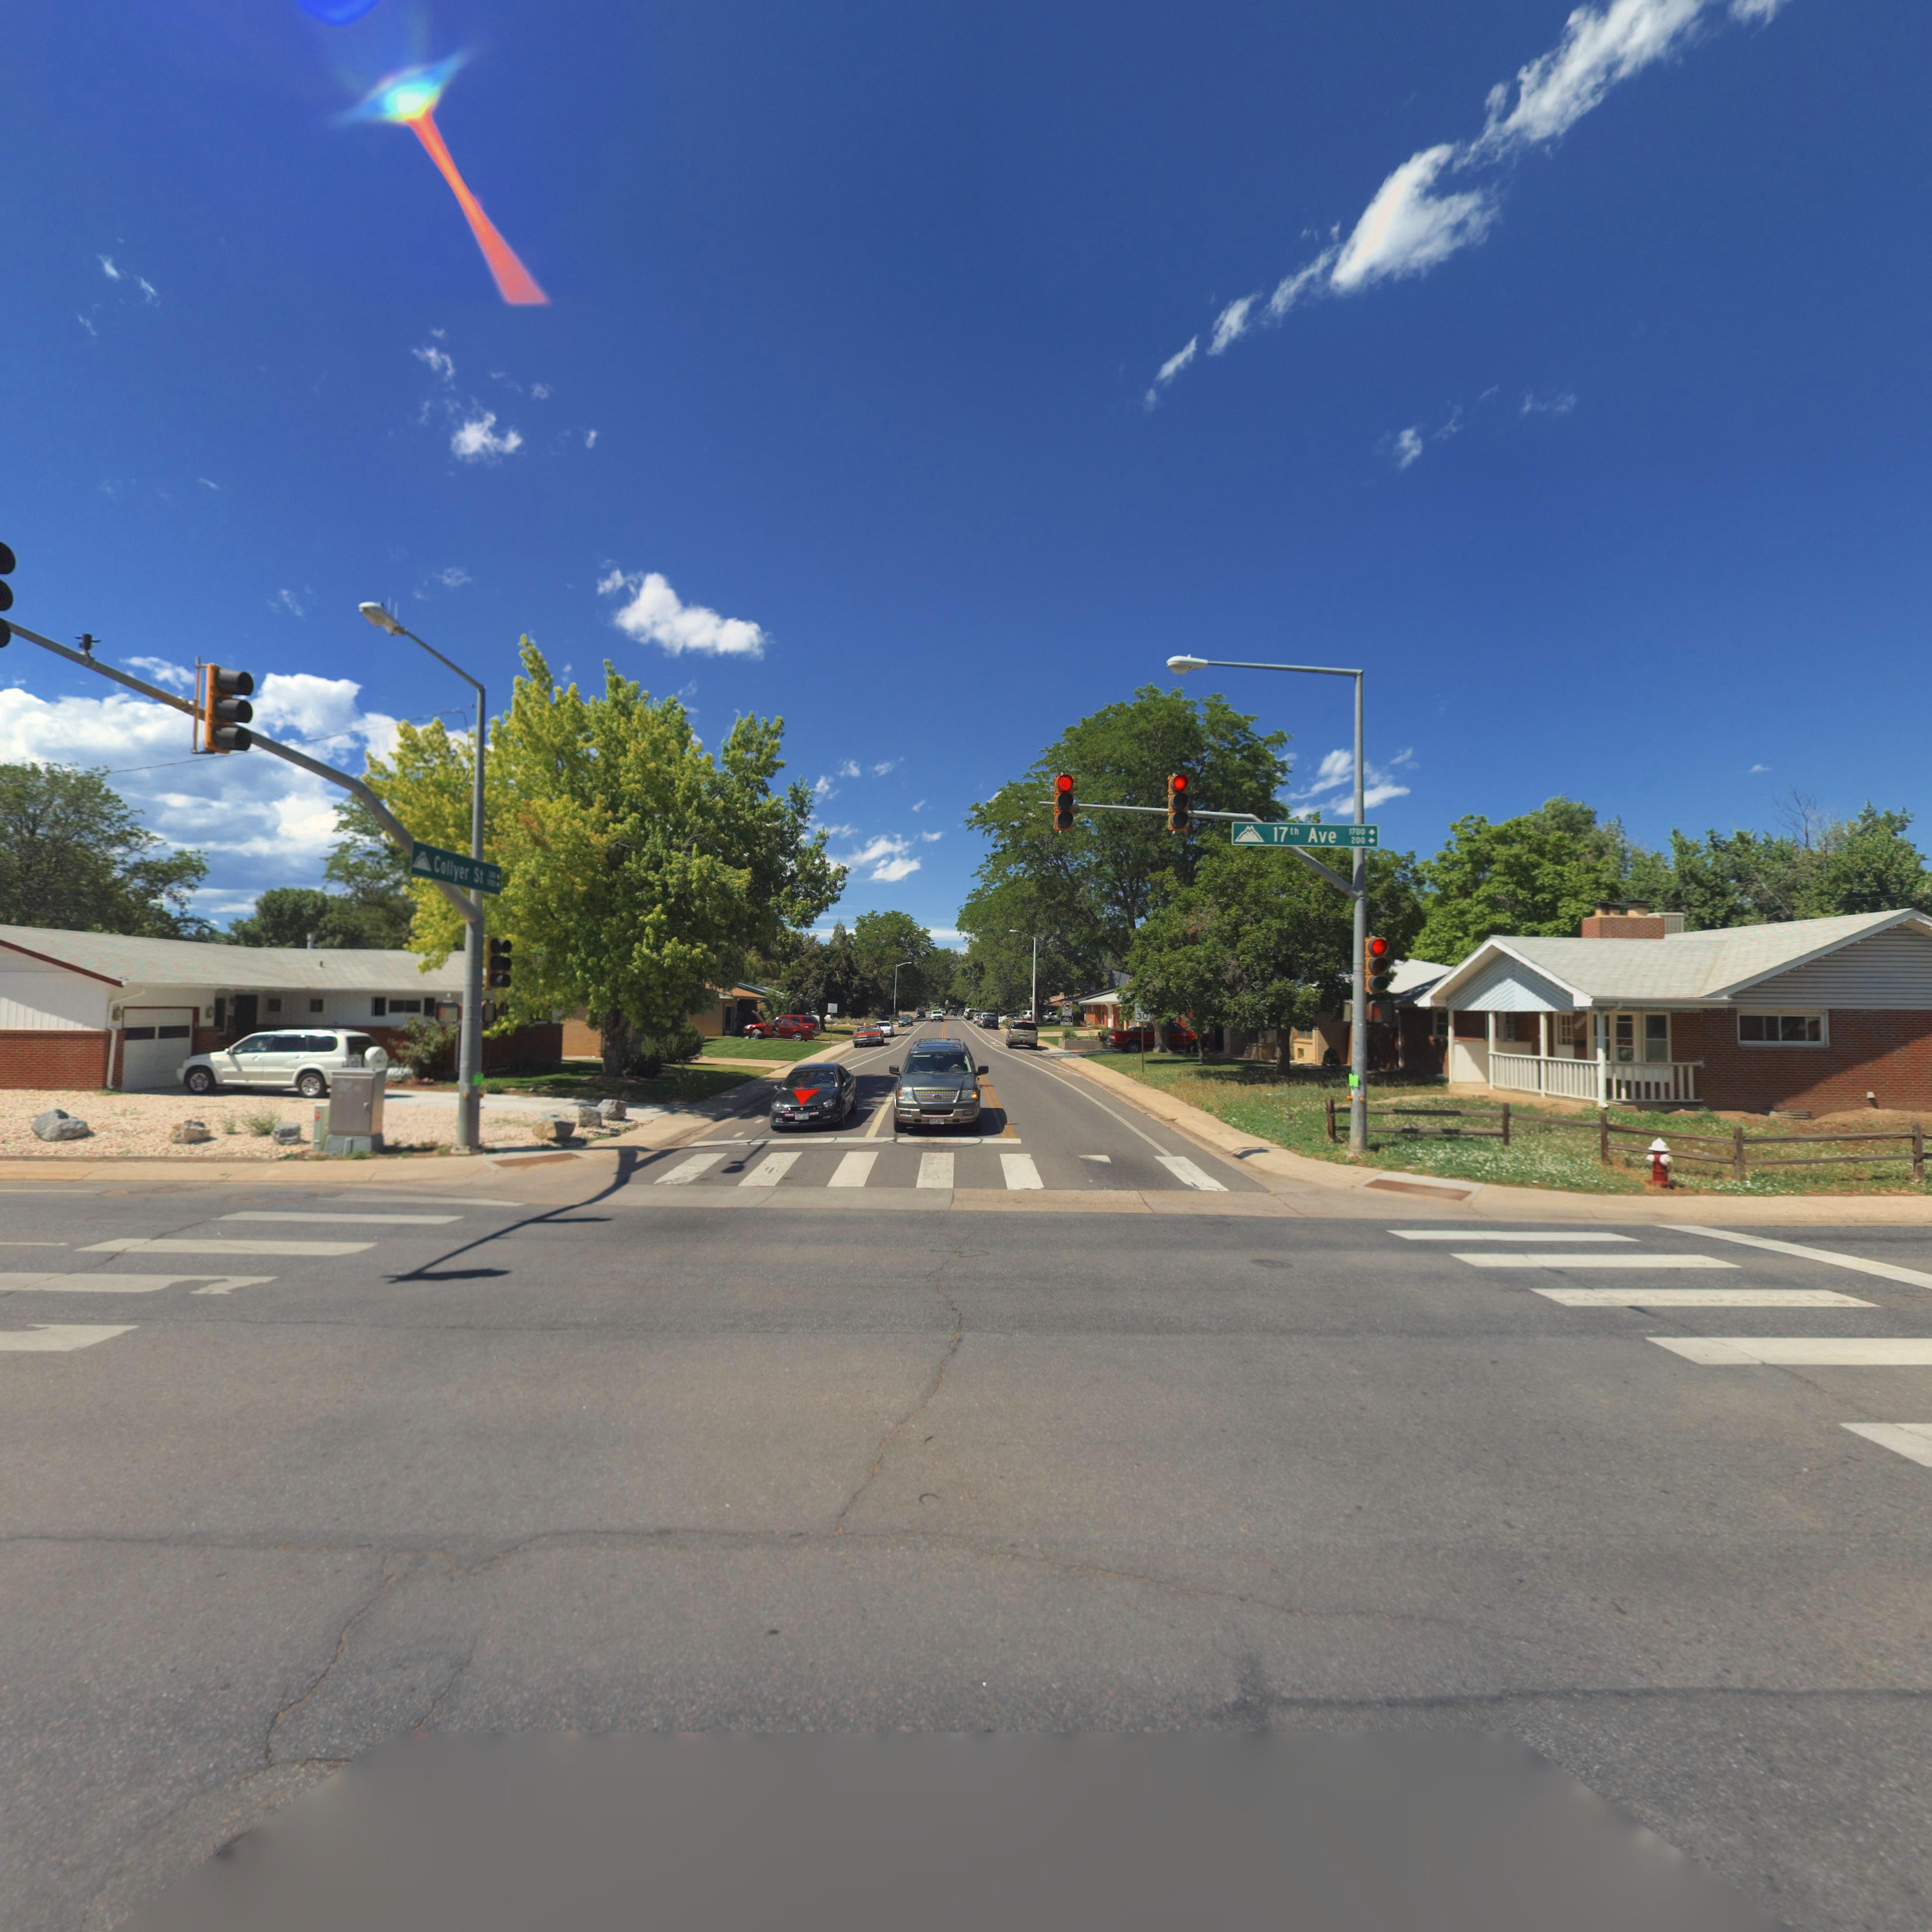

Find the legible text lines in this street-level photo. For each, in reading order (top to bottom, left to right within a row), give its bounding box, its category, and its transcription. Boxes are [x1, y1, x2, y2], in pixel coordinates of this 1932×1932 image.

[1273, 826, 1336, 844] StreetName: 17th Ave
[1349, 828, 1365, 835] StreetNumberRange: 1700
[1351, 836, 1375, 844] StreetNumberRange: 200->
[434, 855, 484, 884] StreetName: Collyer St